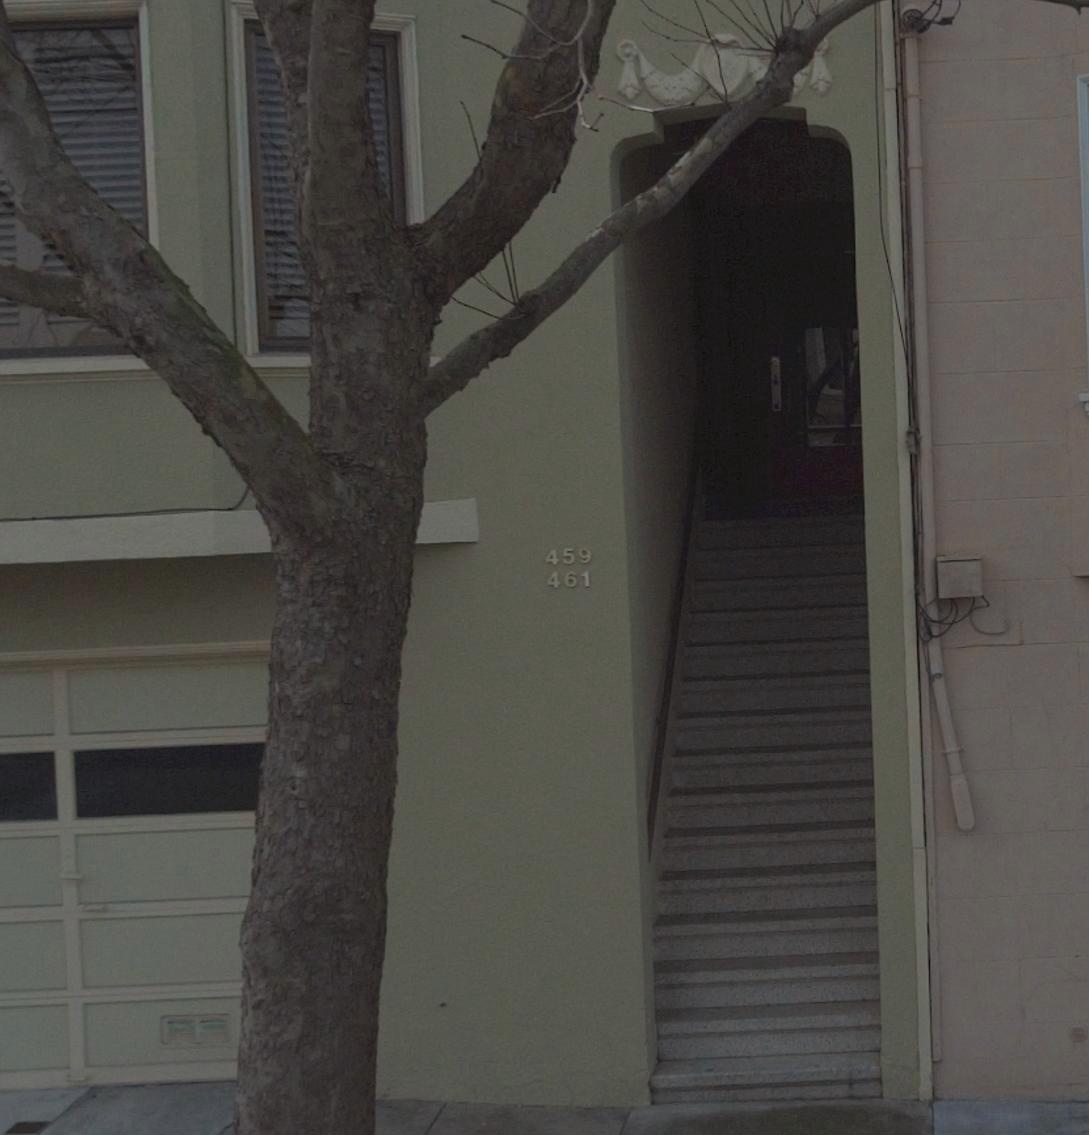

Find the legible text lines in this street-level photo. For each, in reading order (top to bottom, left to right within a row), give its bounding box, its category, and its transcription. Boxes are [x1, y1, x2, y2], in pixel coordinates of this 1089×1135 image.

[543, 545, 593, 566] StreetNumber: 459
[545, 569, 592, 590] StreetNumber: 461